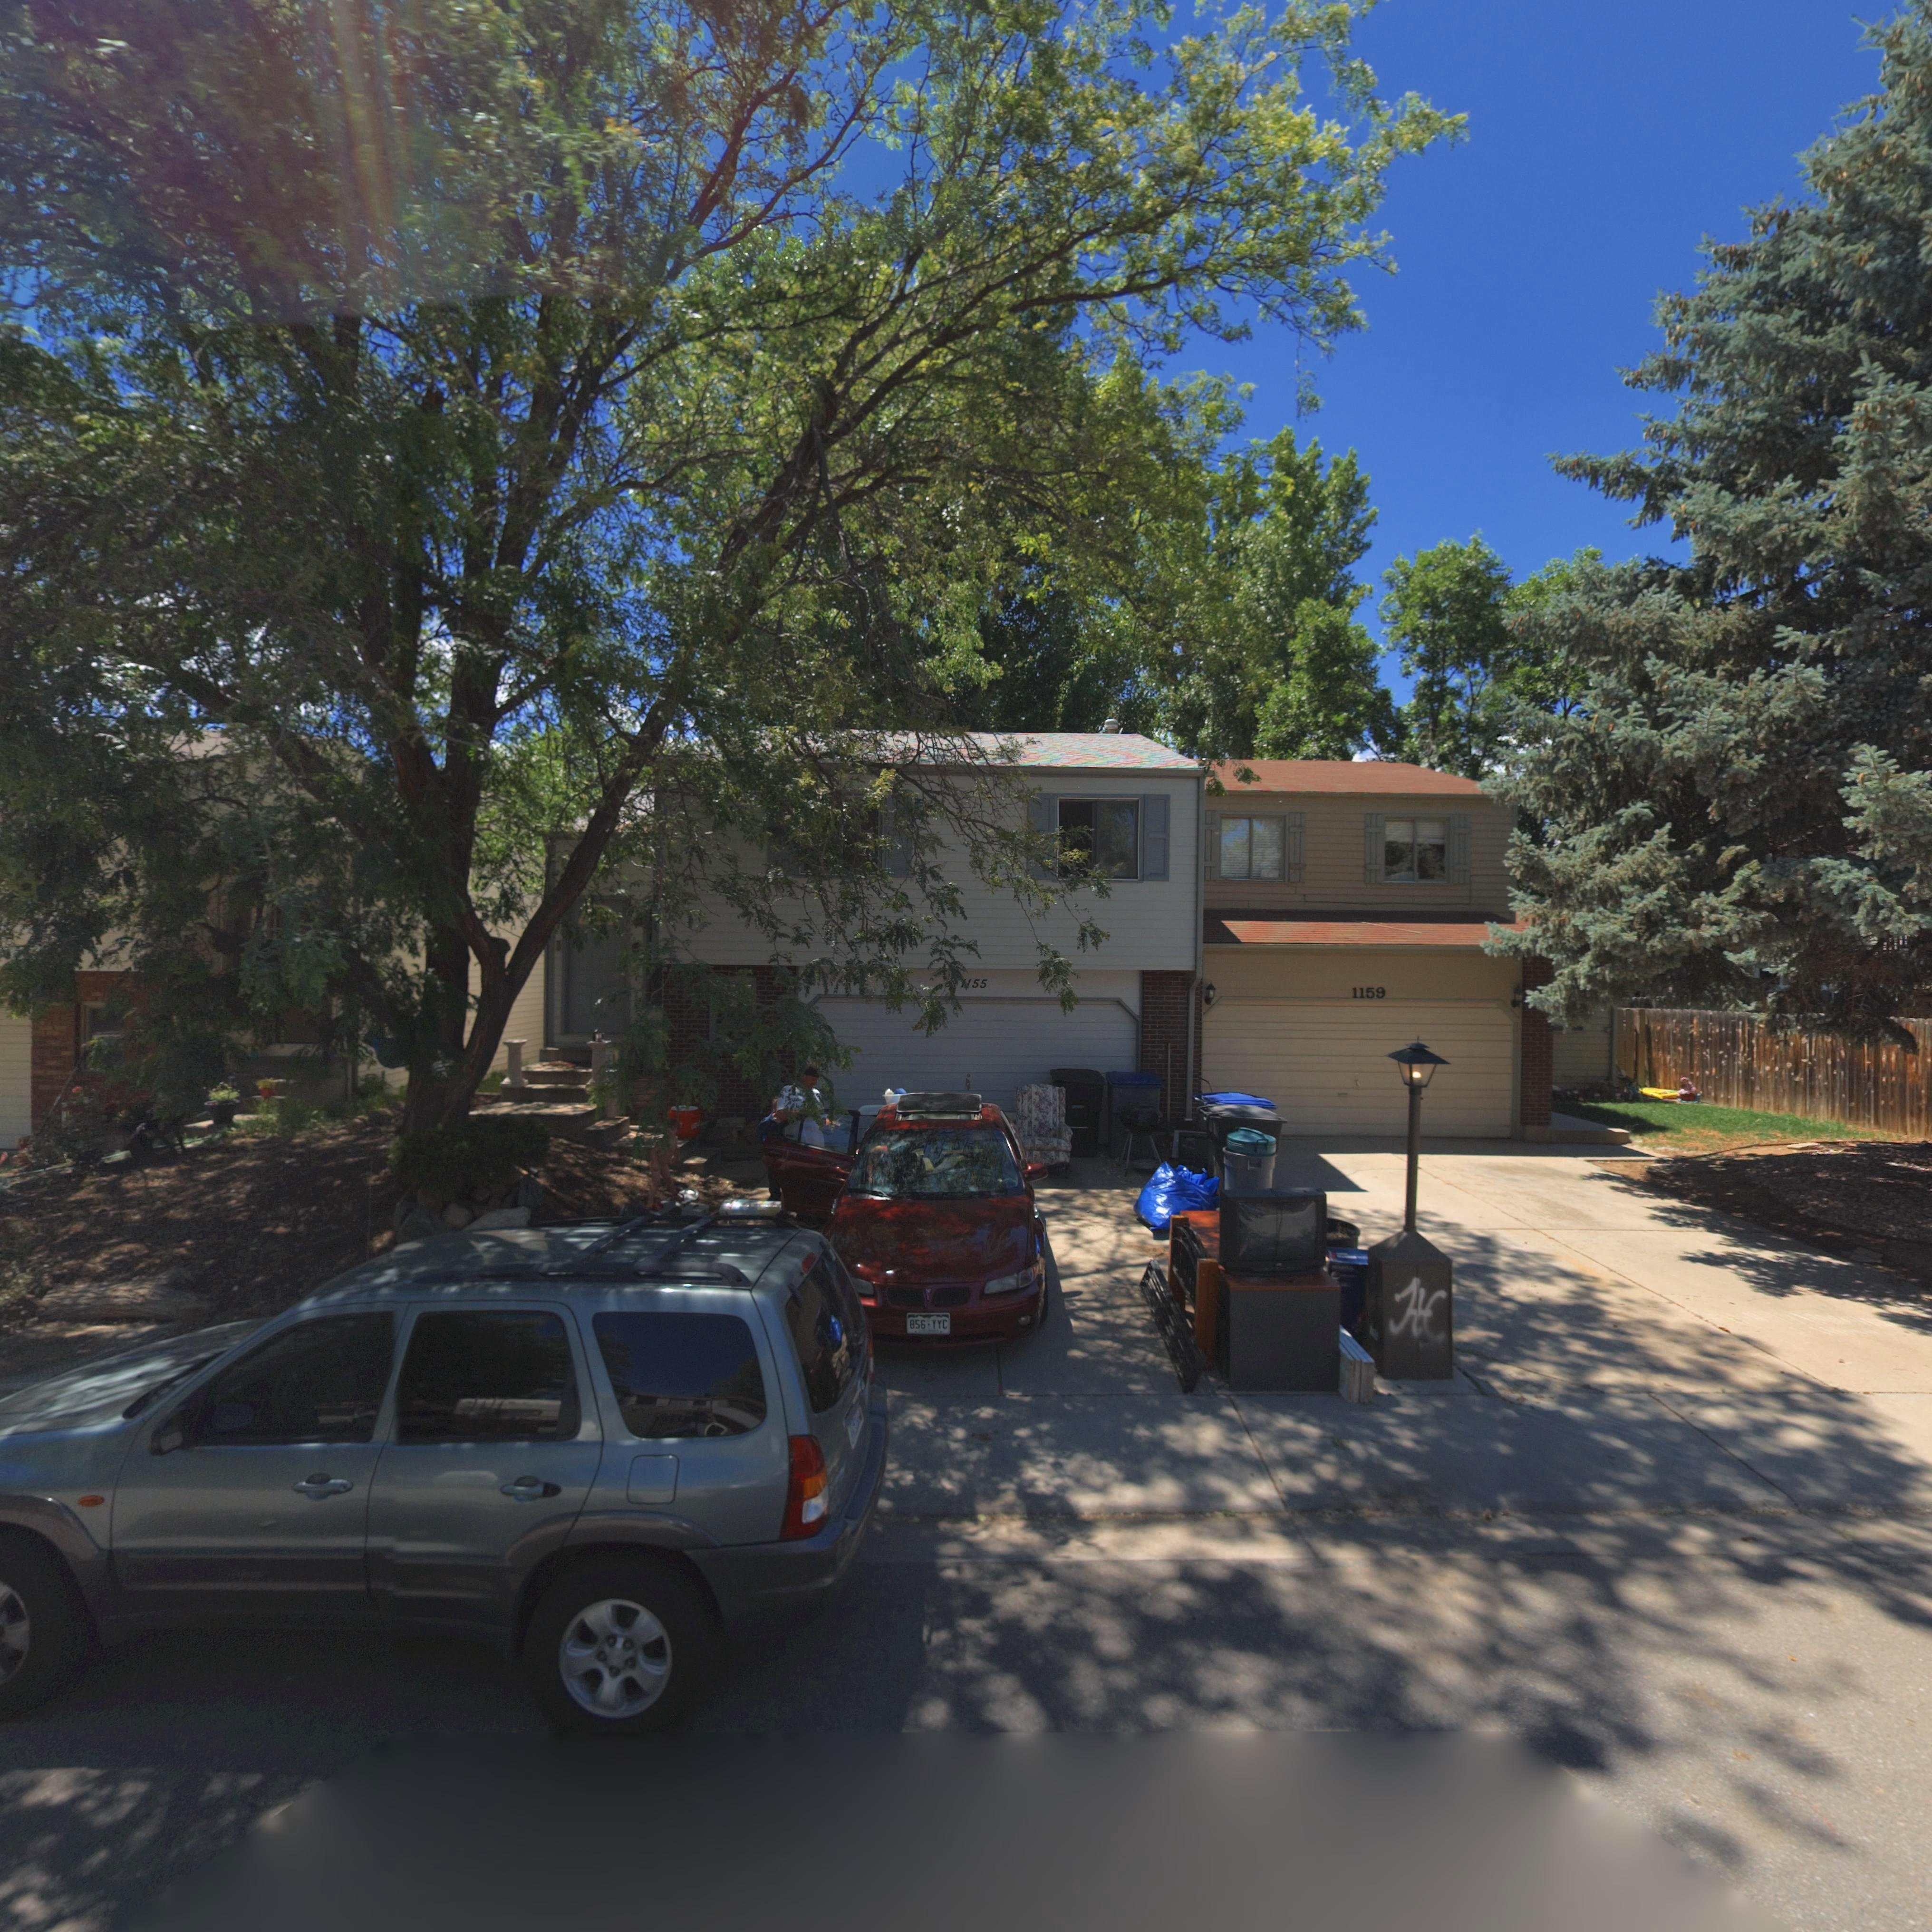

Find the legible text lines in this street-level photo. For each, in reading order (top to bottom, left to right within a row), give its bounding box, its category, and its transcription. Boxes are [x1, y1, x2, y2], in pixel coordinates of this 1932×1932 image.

[965, 978, 988, 989] StreetNumber: 155
[1351, 986, 1386, 999] StreetNumber: 1159